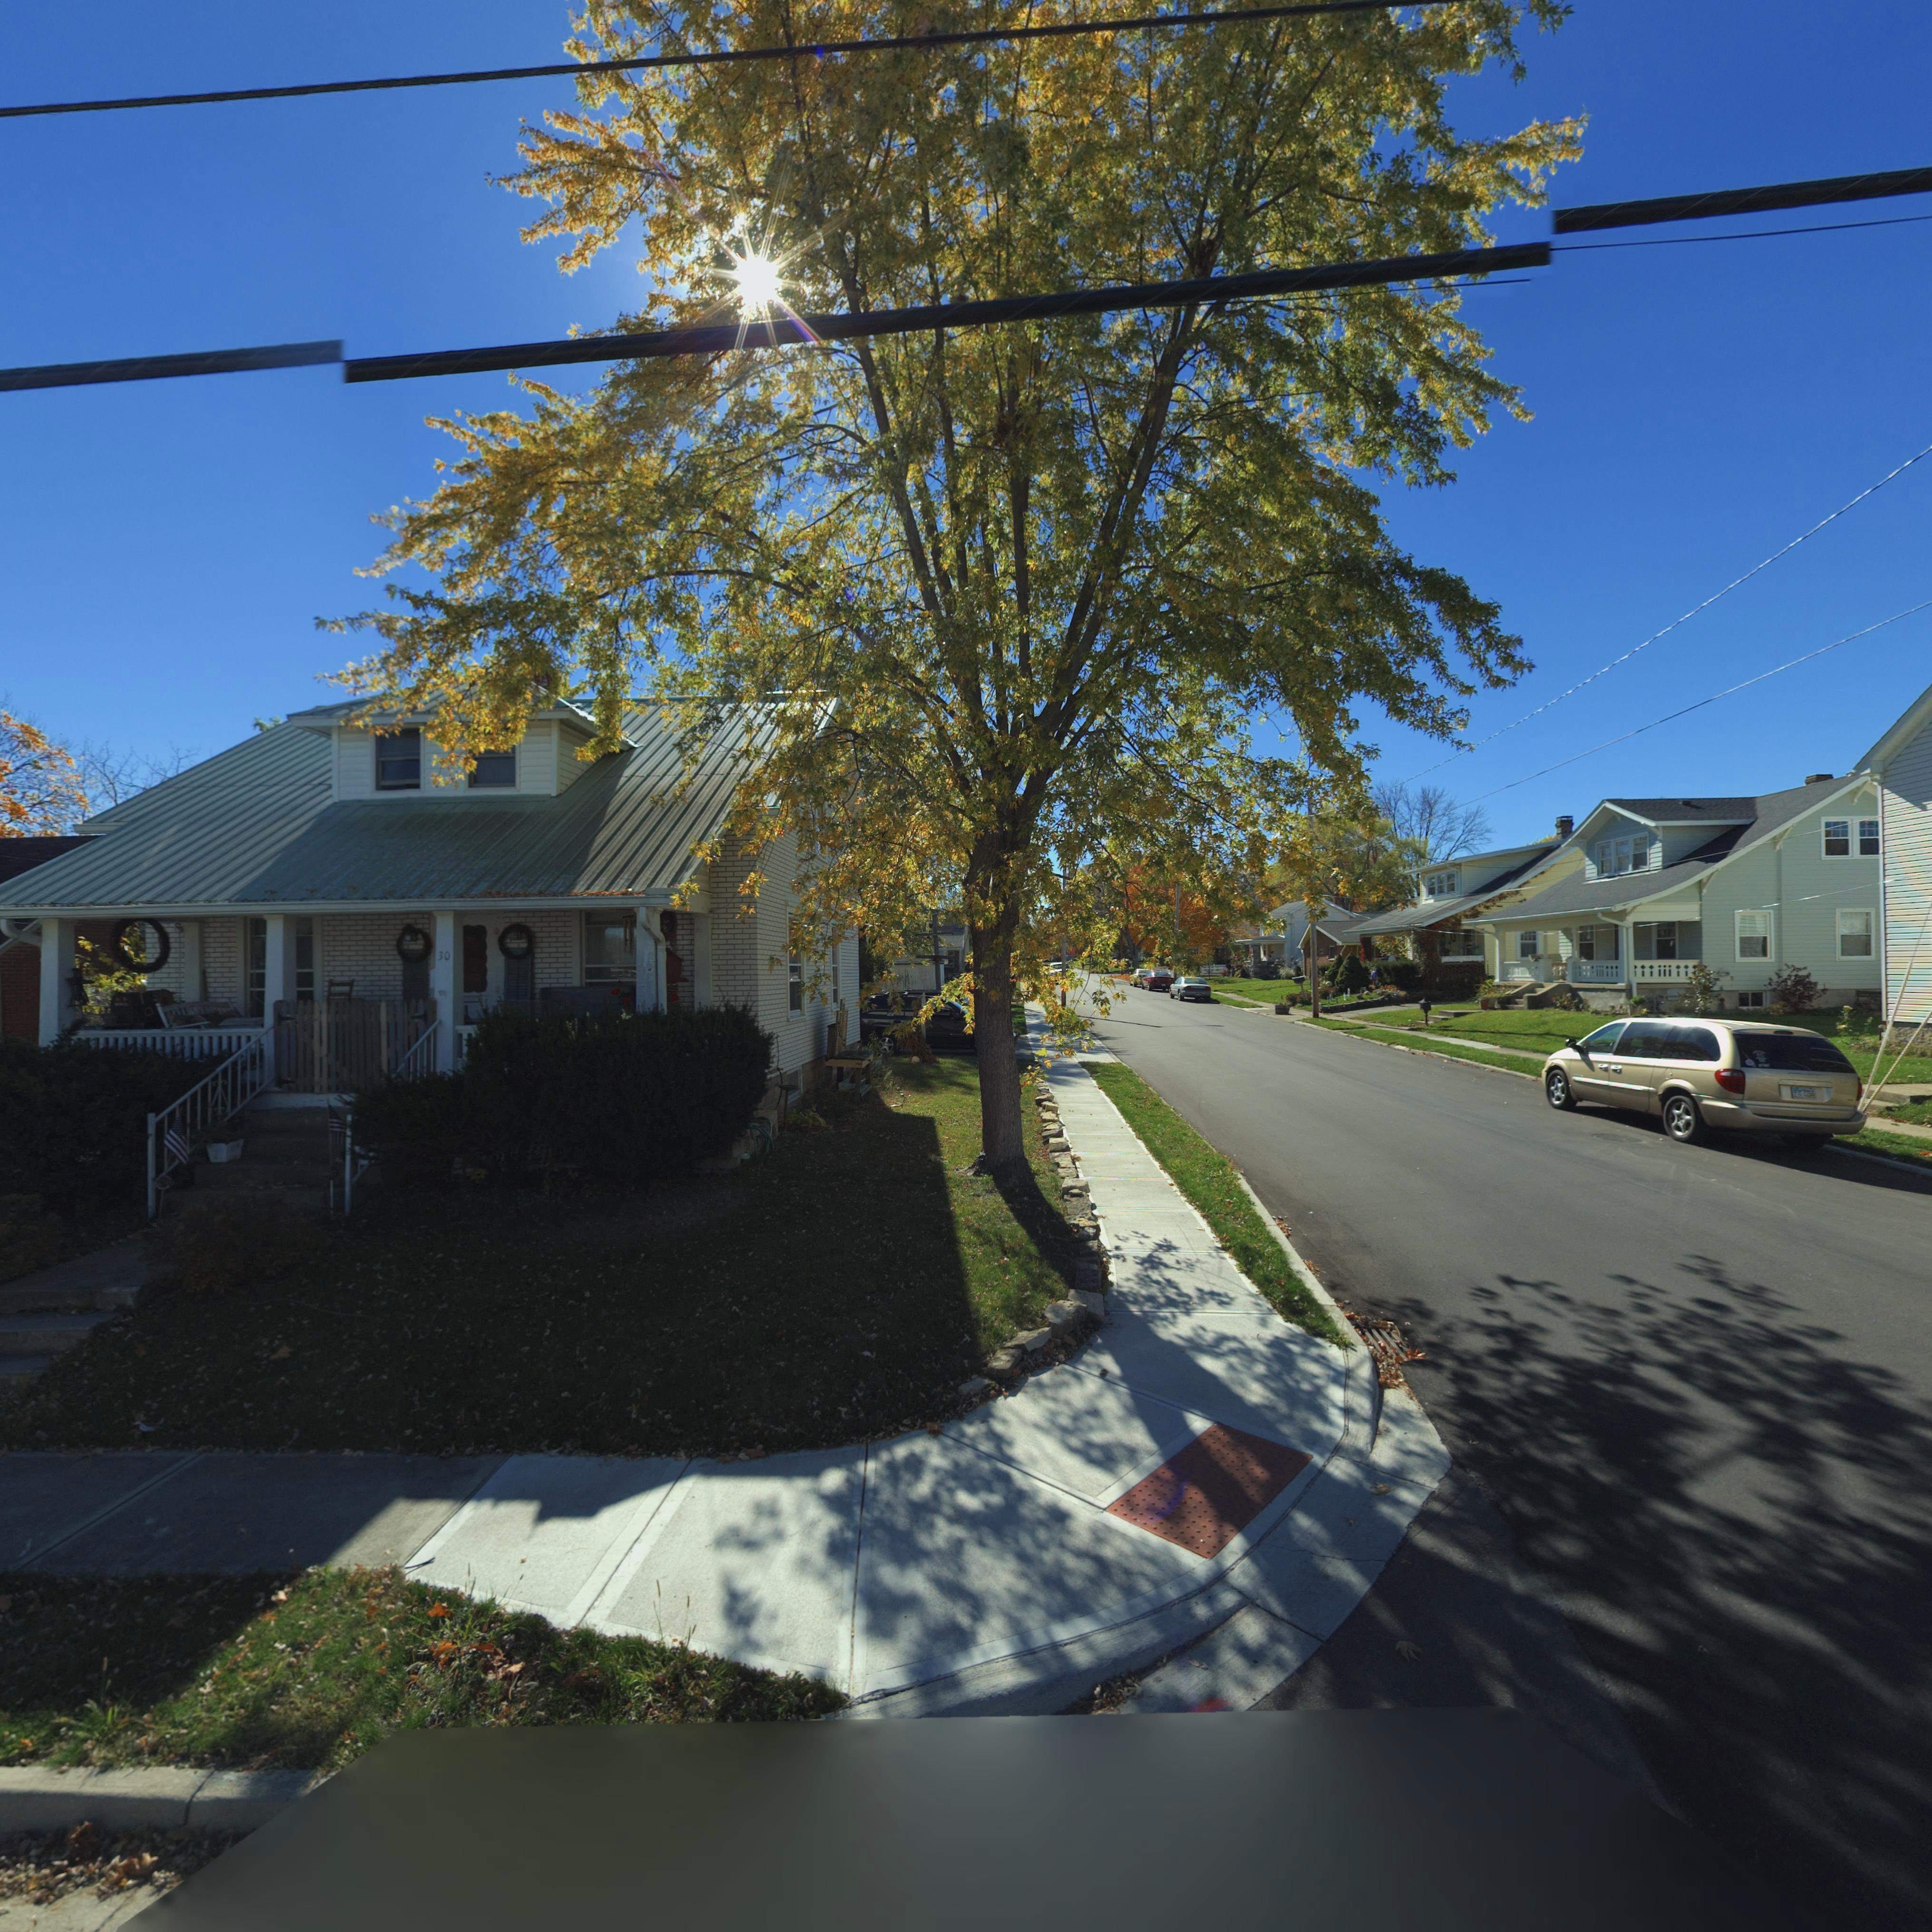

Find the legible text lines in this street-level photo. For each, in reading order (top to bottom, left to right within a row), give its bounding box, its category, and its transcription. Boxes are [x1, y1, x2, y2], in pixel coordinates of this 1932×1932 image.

[437, 950, 451, 962] StreetNumber: 30